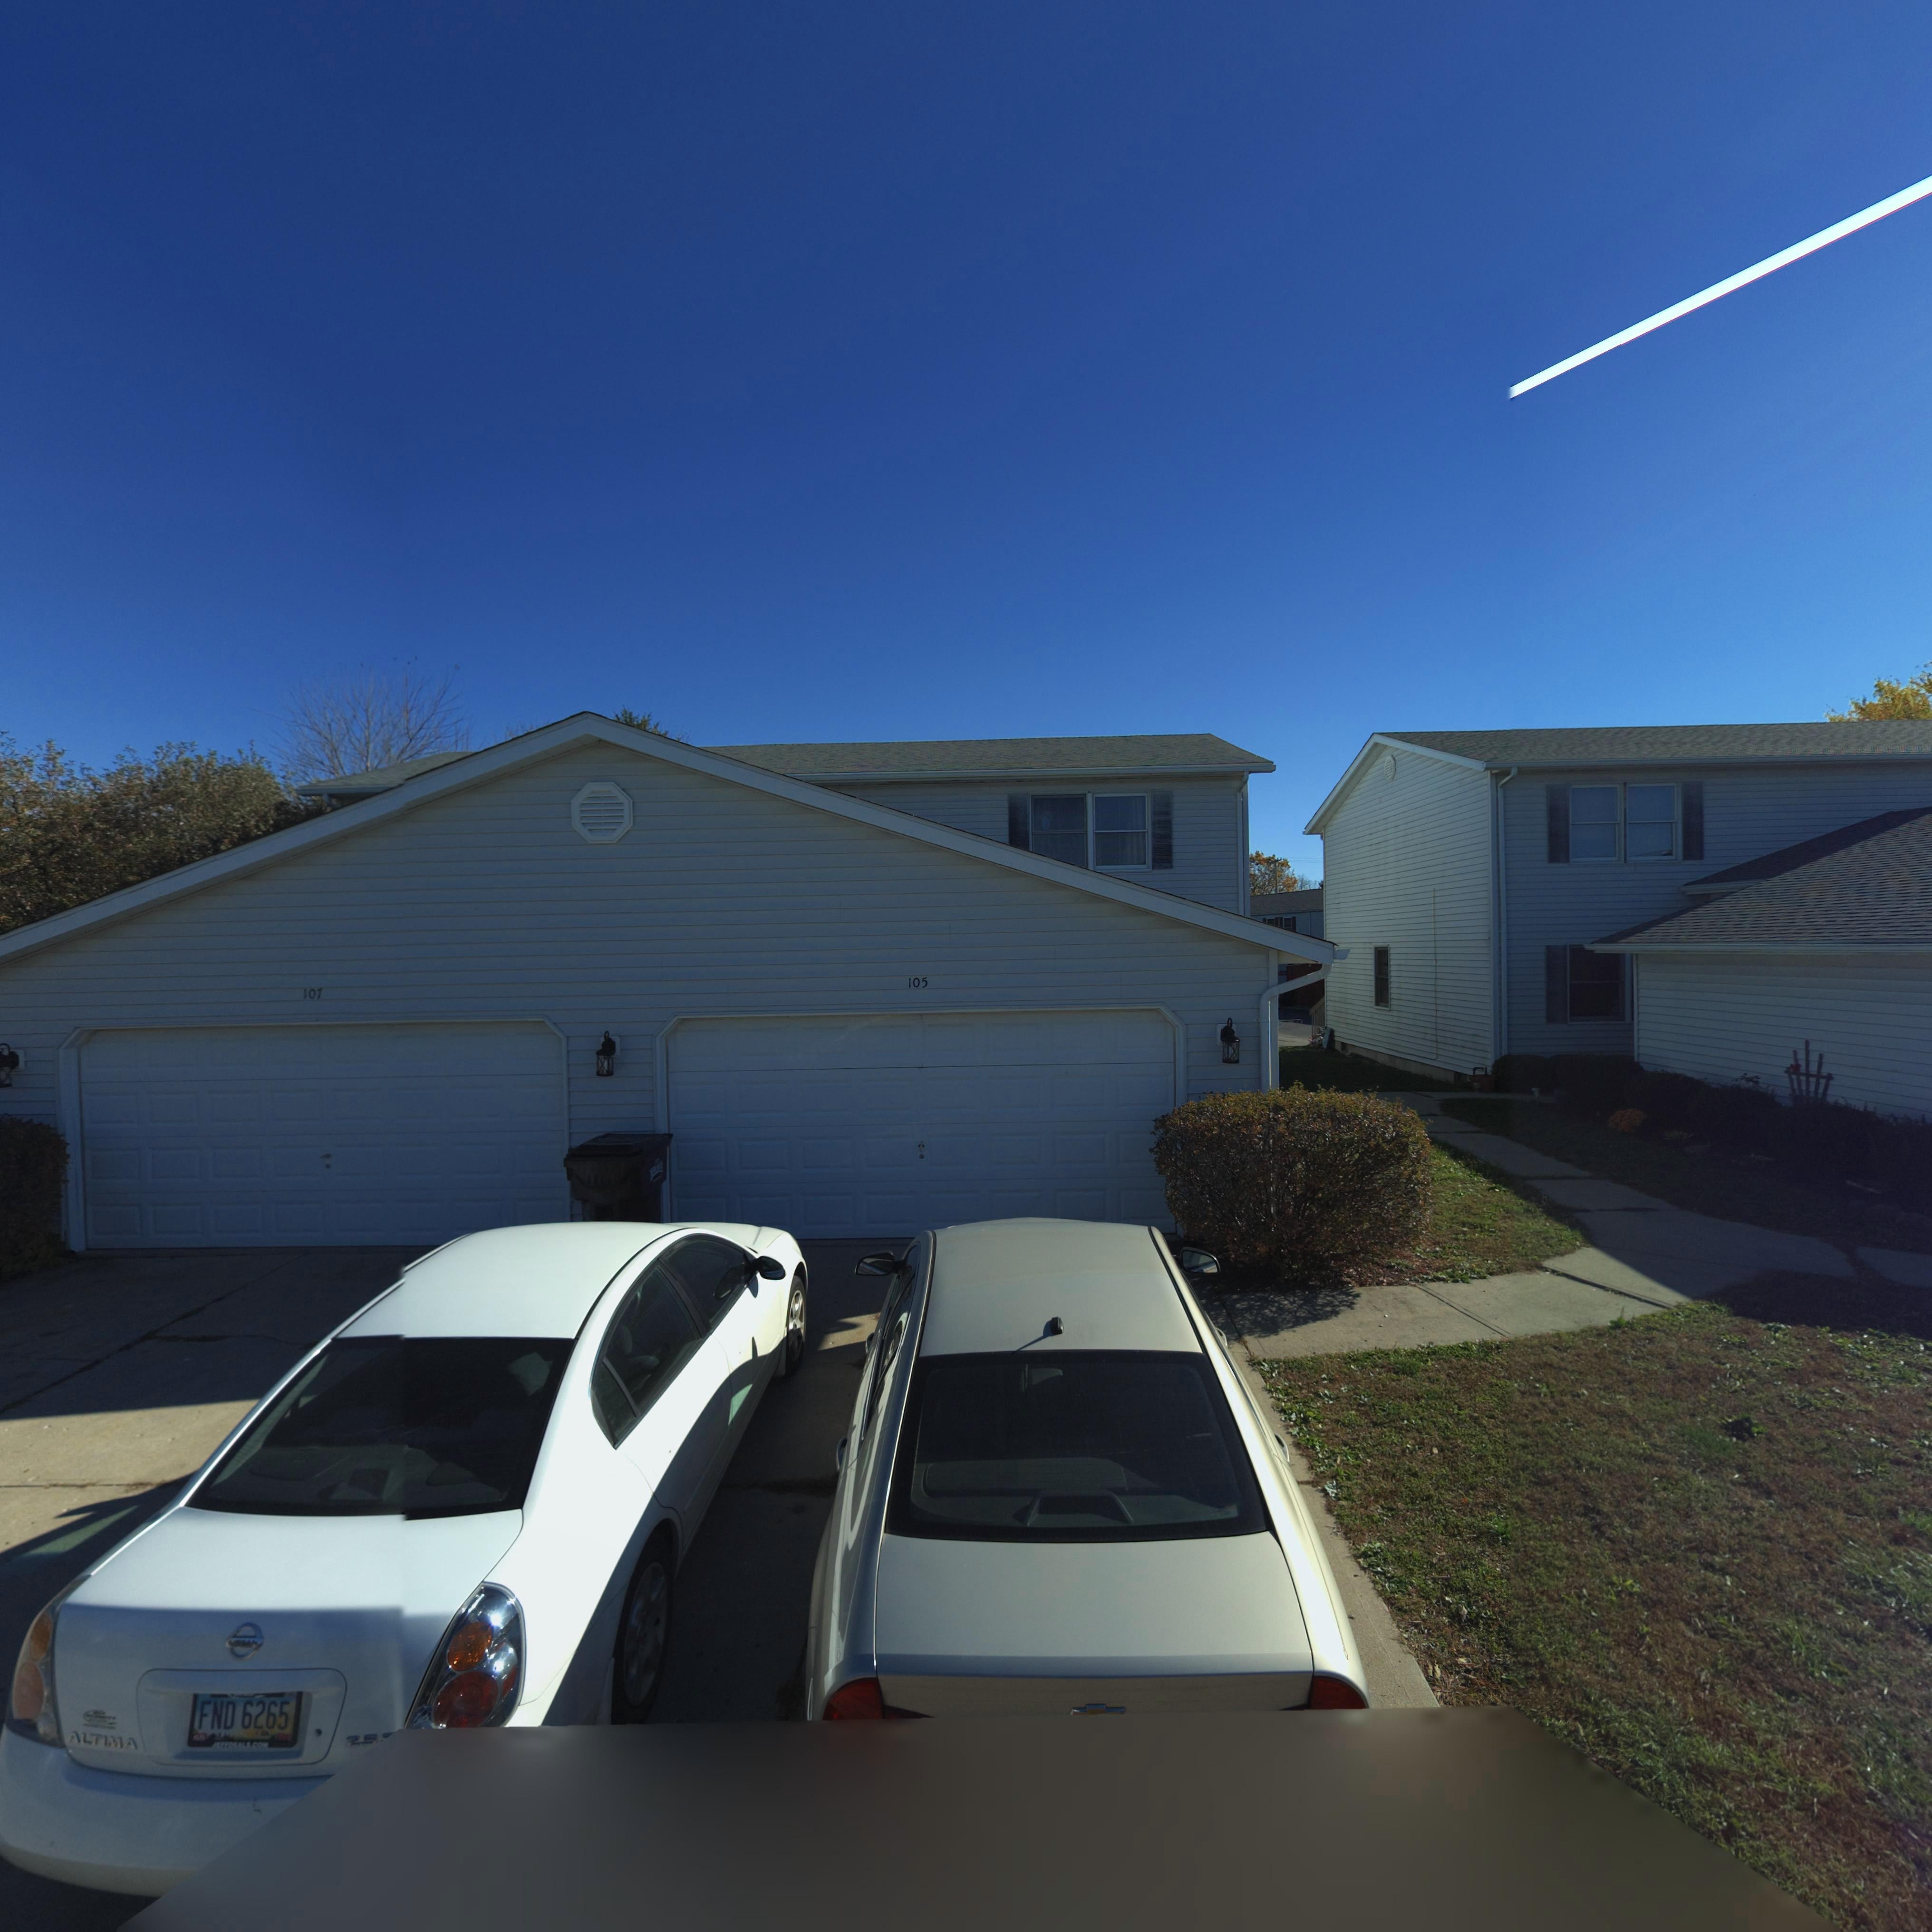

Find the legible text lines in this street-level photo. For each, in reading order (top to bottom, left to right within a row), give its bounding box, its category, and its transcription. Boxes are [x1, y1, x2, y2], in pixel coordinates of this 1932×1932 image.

[907, 976, 929, 989] StreetNumber: 105
[301, 986, 323, 999] StreetNumber: 107